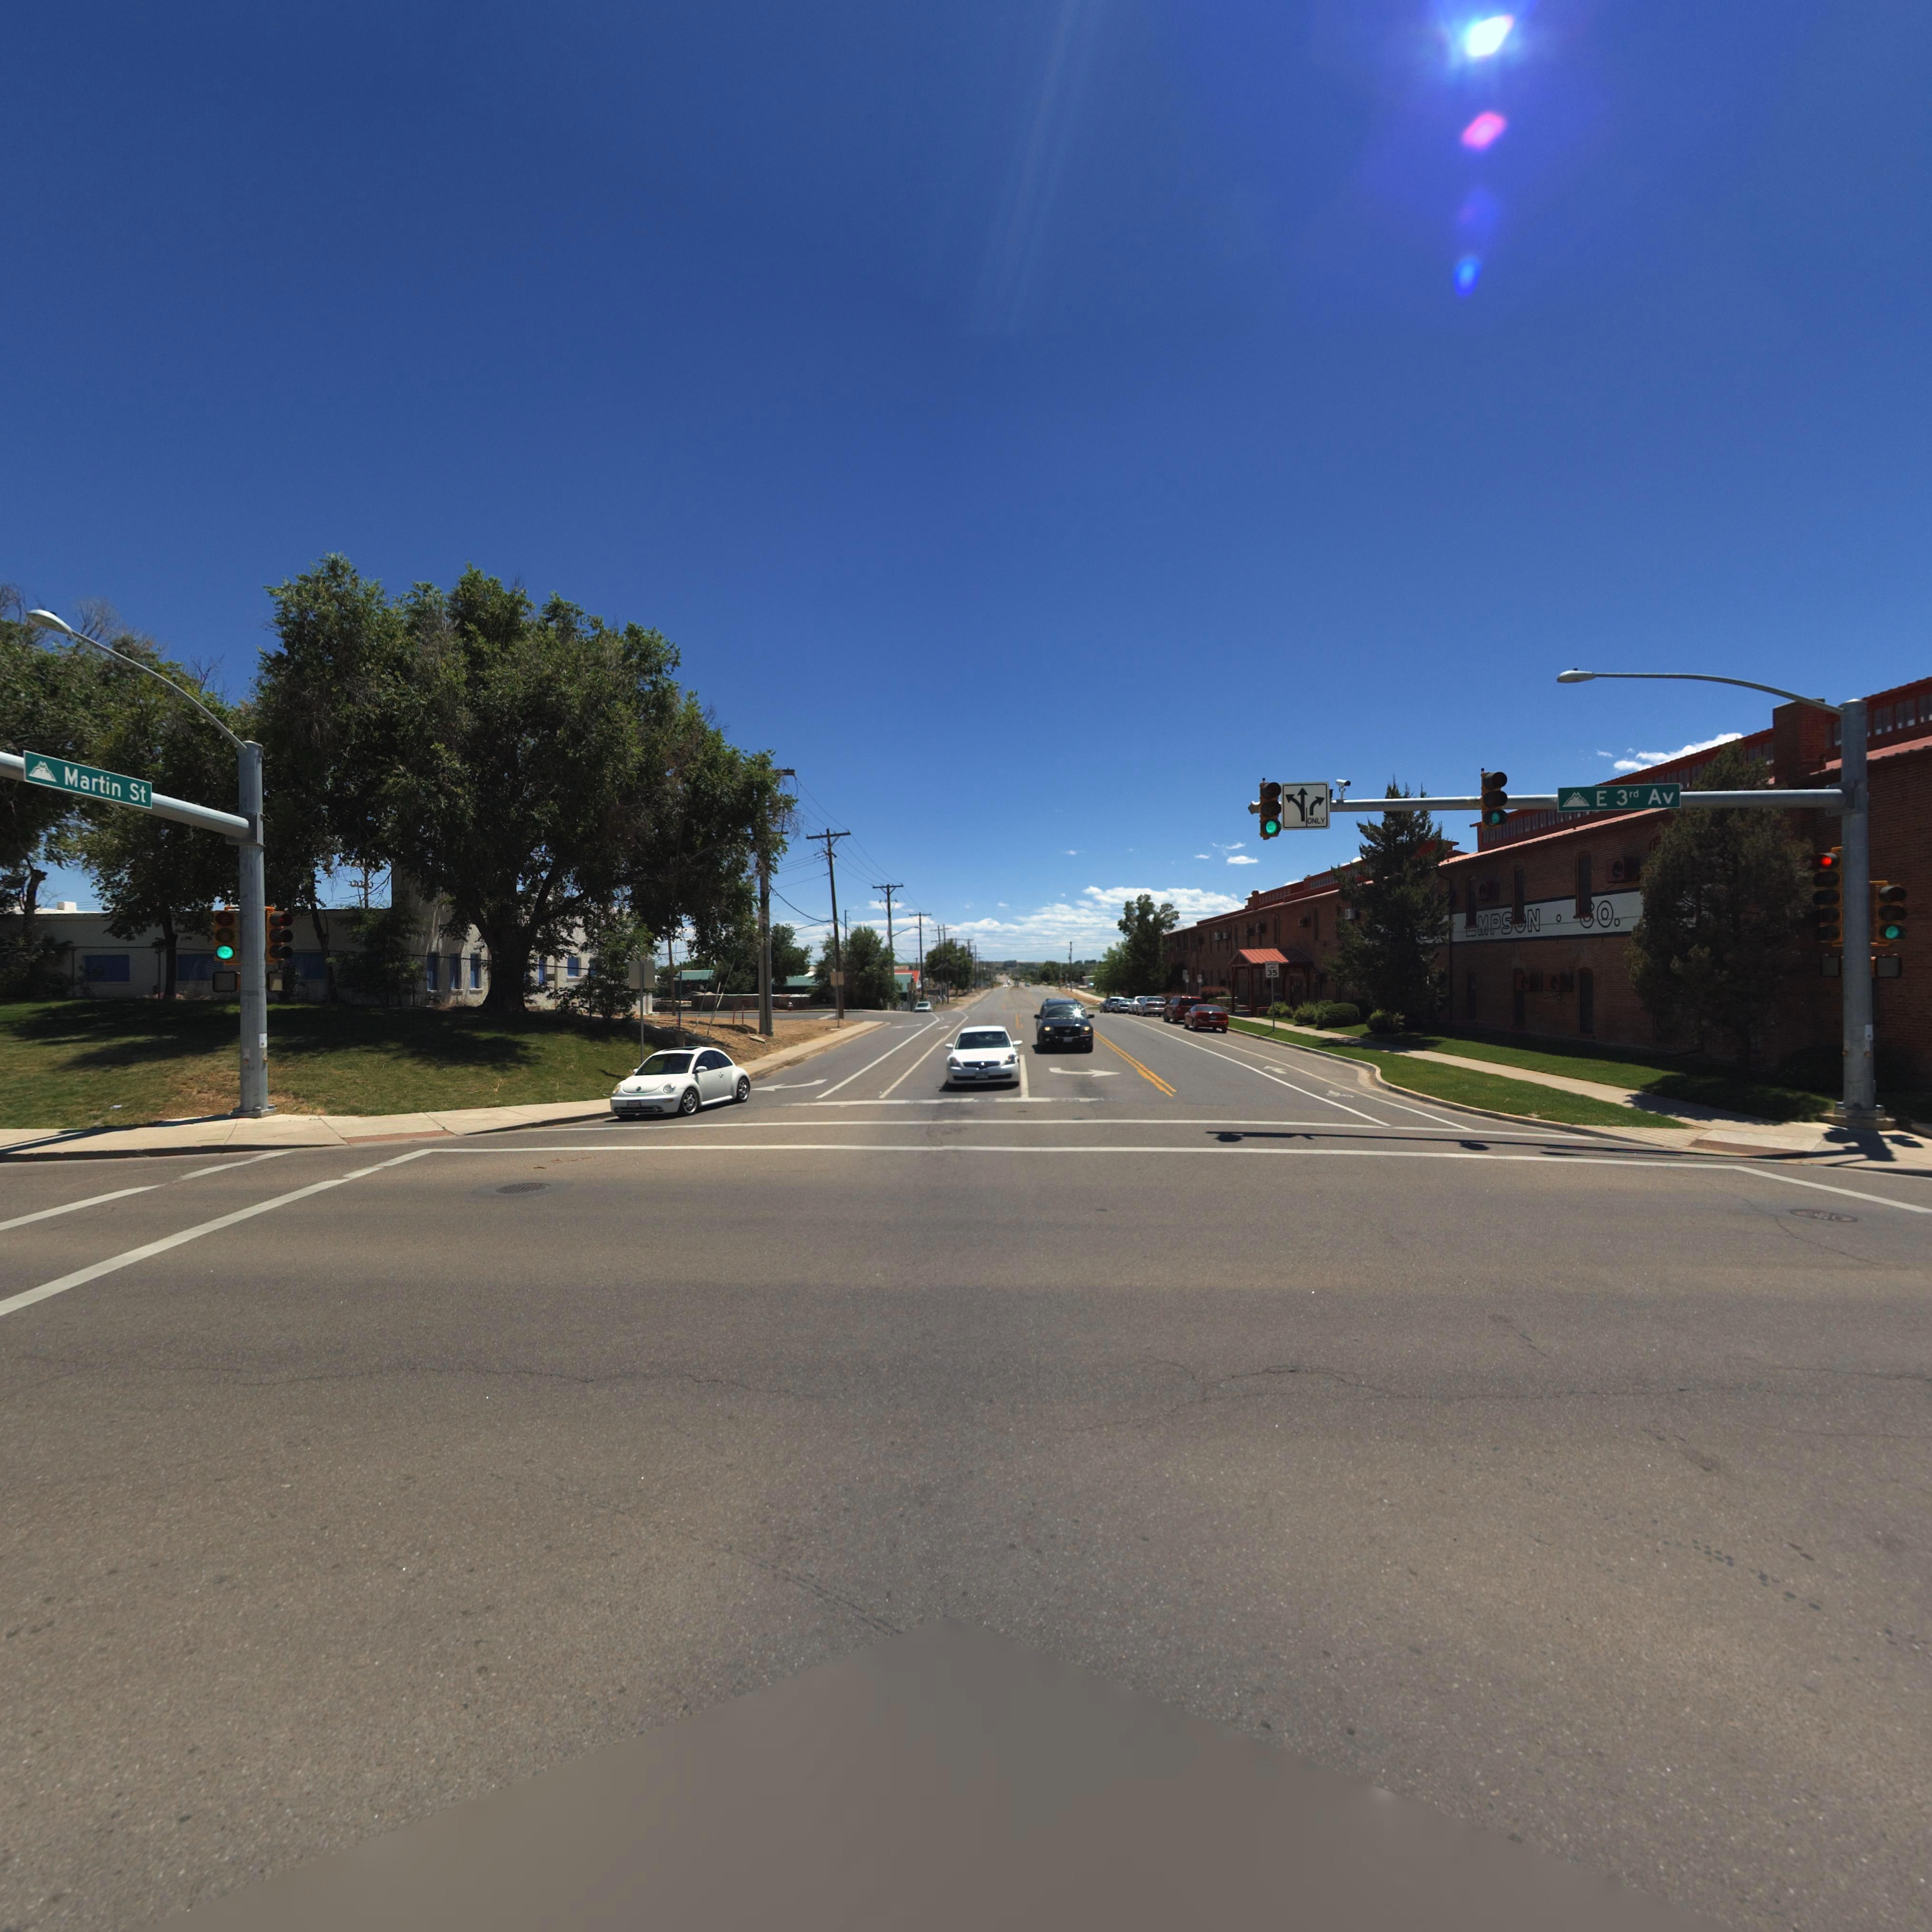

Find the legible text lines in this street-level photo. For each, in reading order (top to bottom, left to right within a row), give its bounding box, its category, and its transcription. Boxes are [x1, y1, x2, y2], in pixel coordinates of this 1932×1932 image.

[64, 765, 146, 803] StreetName: Martin St
[1596, 788, 1675, 807] StreetName: E 3rd Av
[1466, 899, 1620, 937] BusinessName: *MPS*N *O.